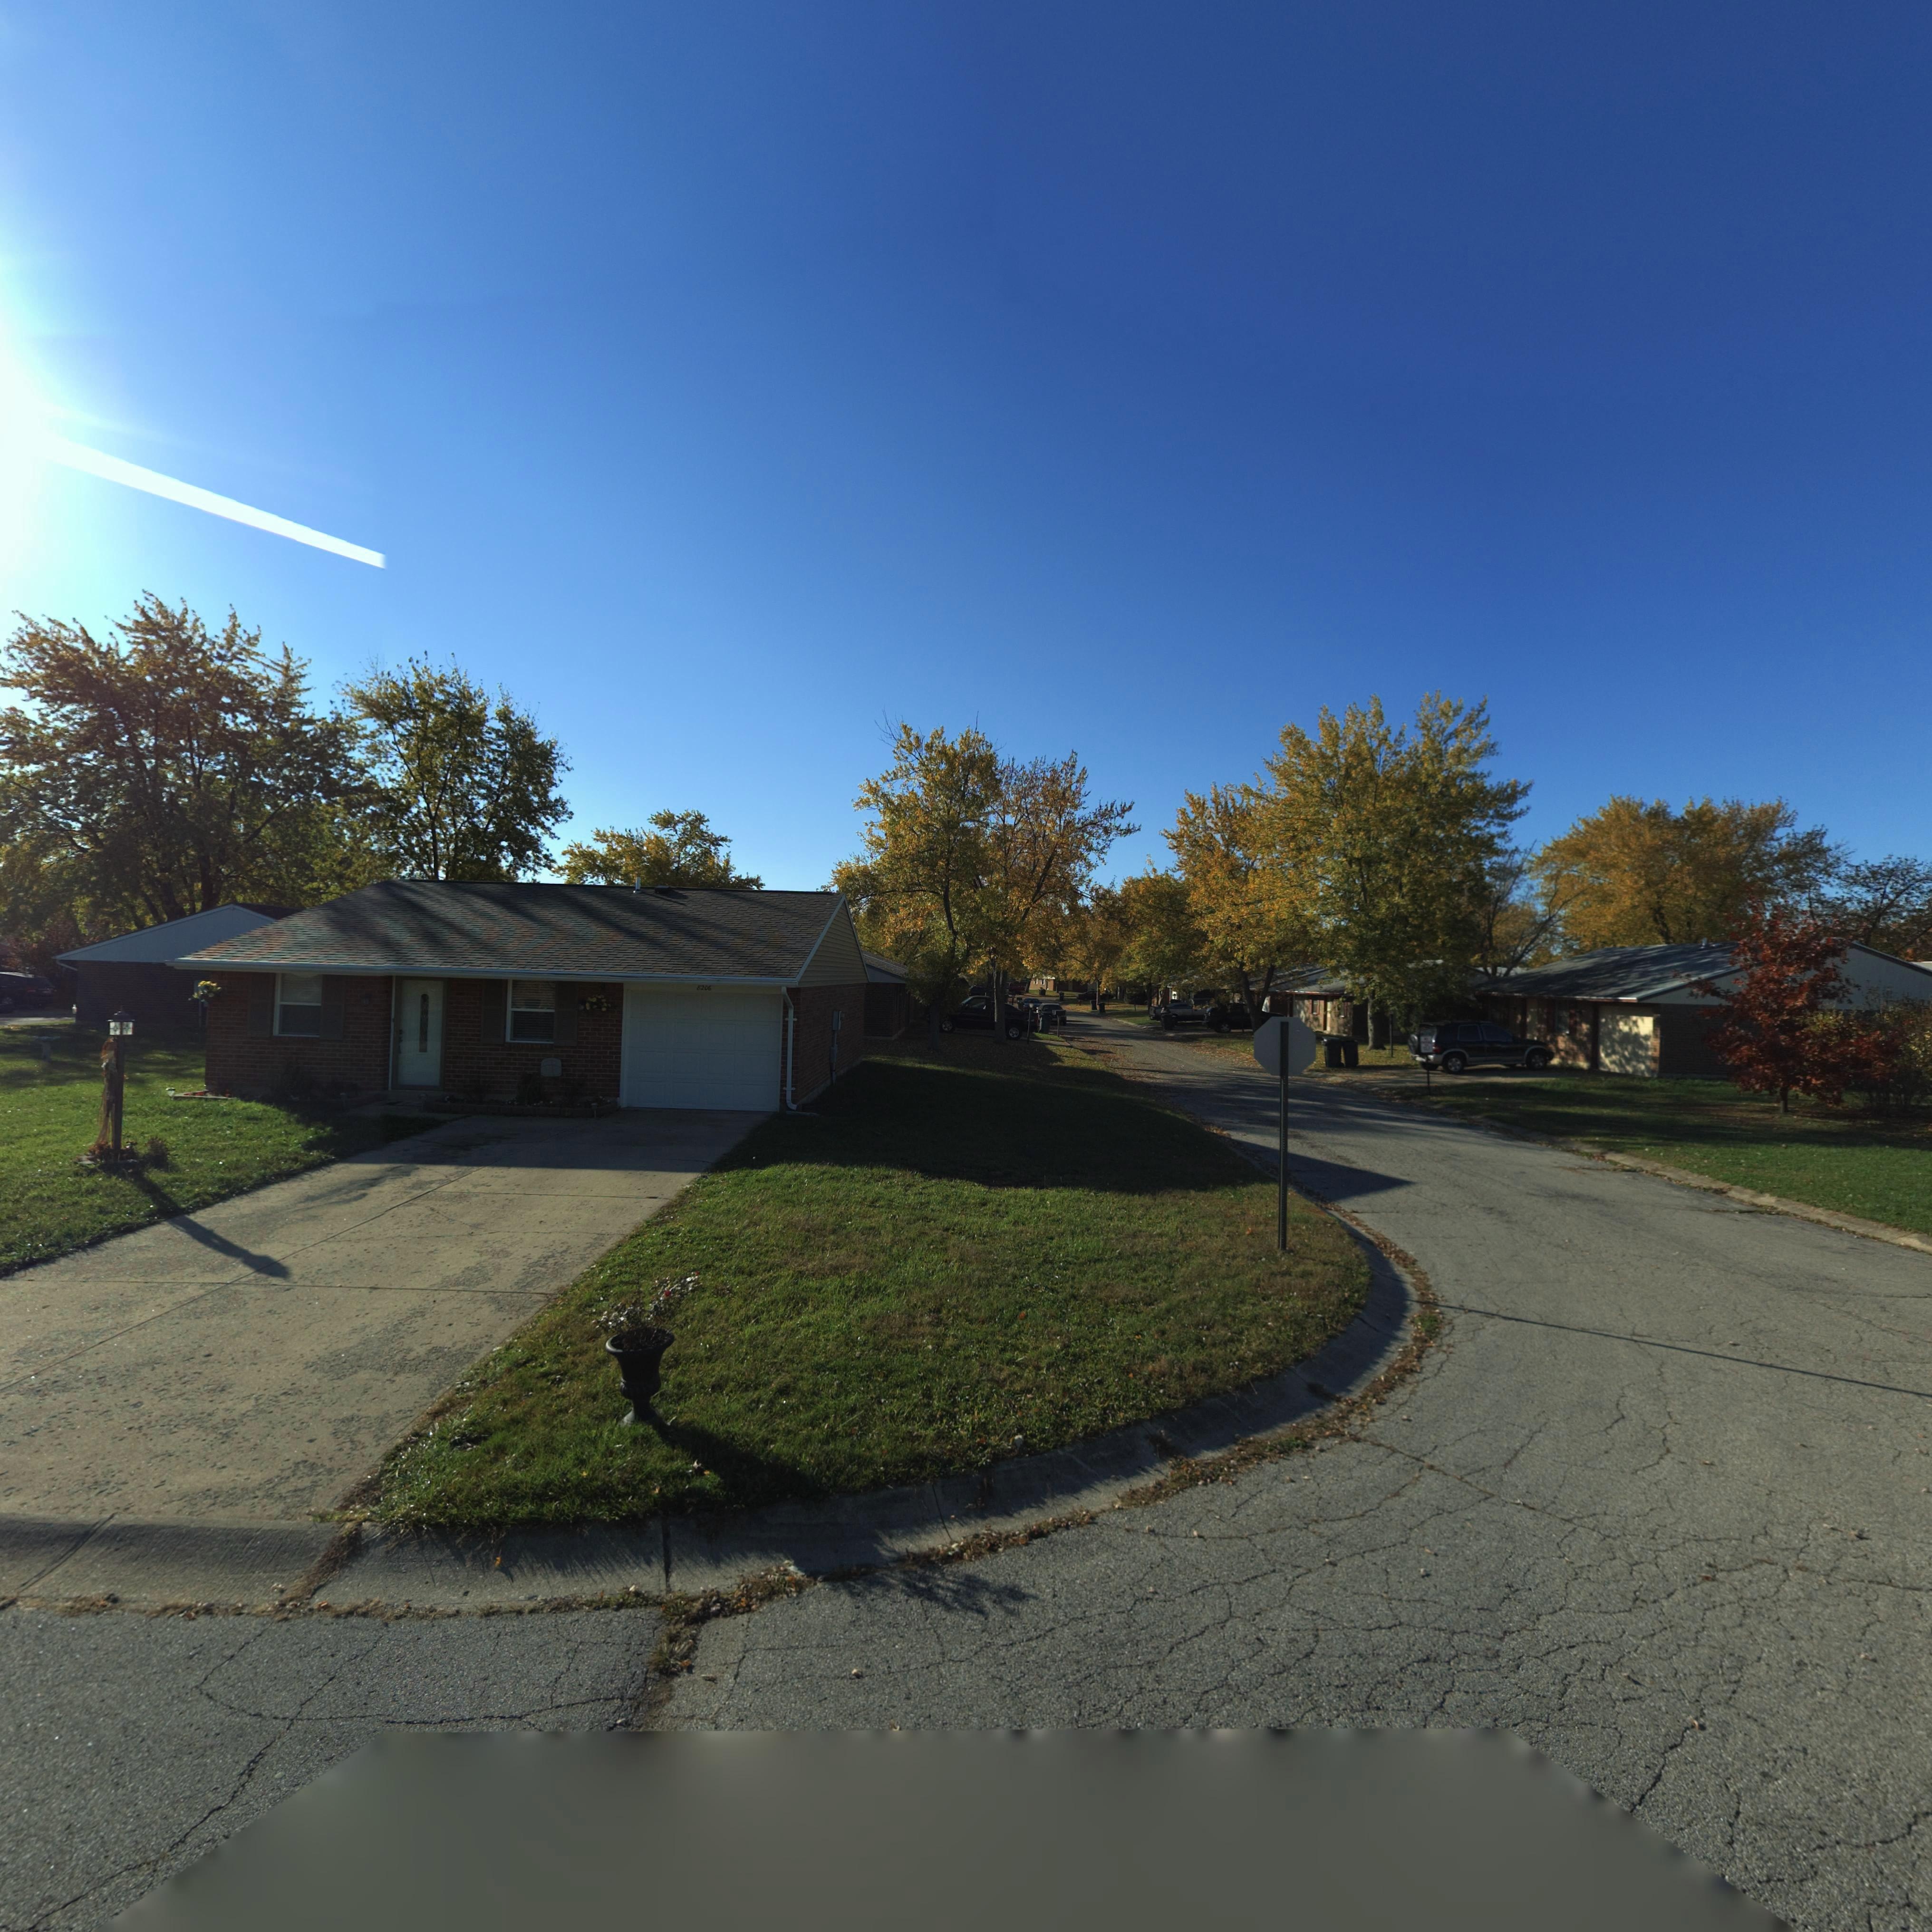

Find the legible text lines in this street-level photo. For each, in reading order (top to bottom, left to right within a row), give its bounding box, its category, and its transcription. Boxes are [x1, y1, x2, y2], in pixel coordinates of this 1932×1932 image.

[696, 985, 712, 991] StreetNumber: 8206